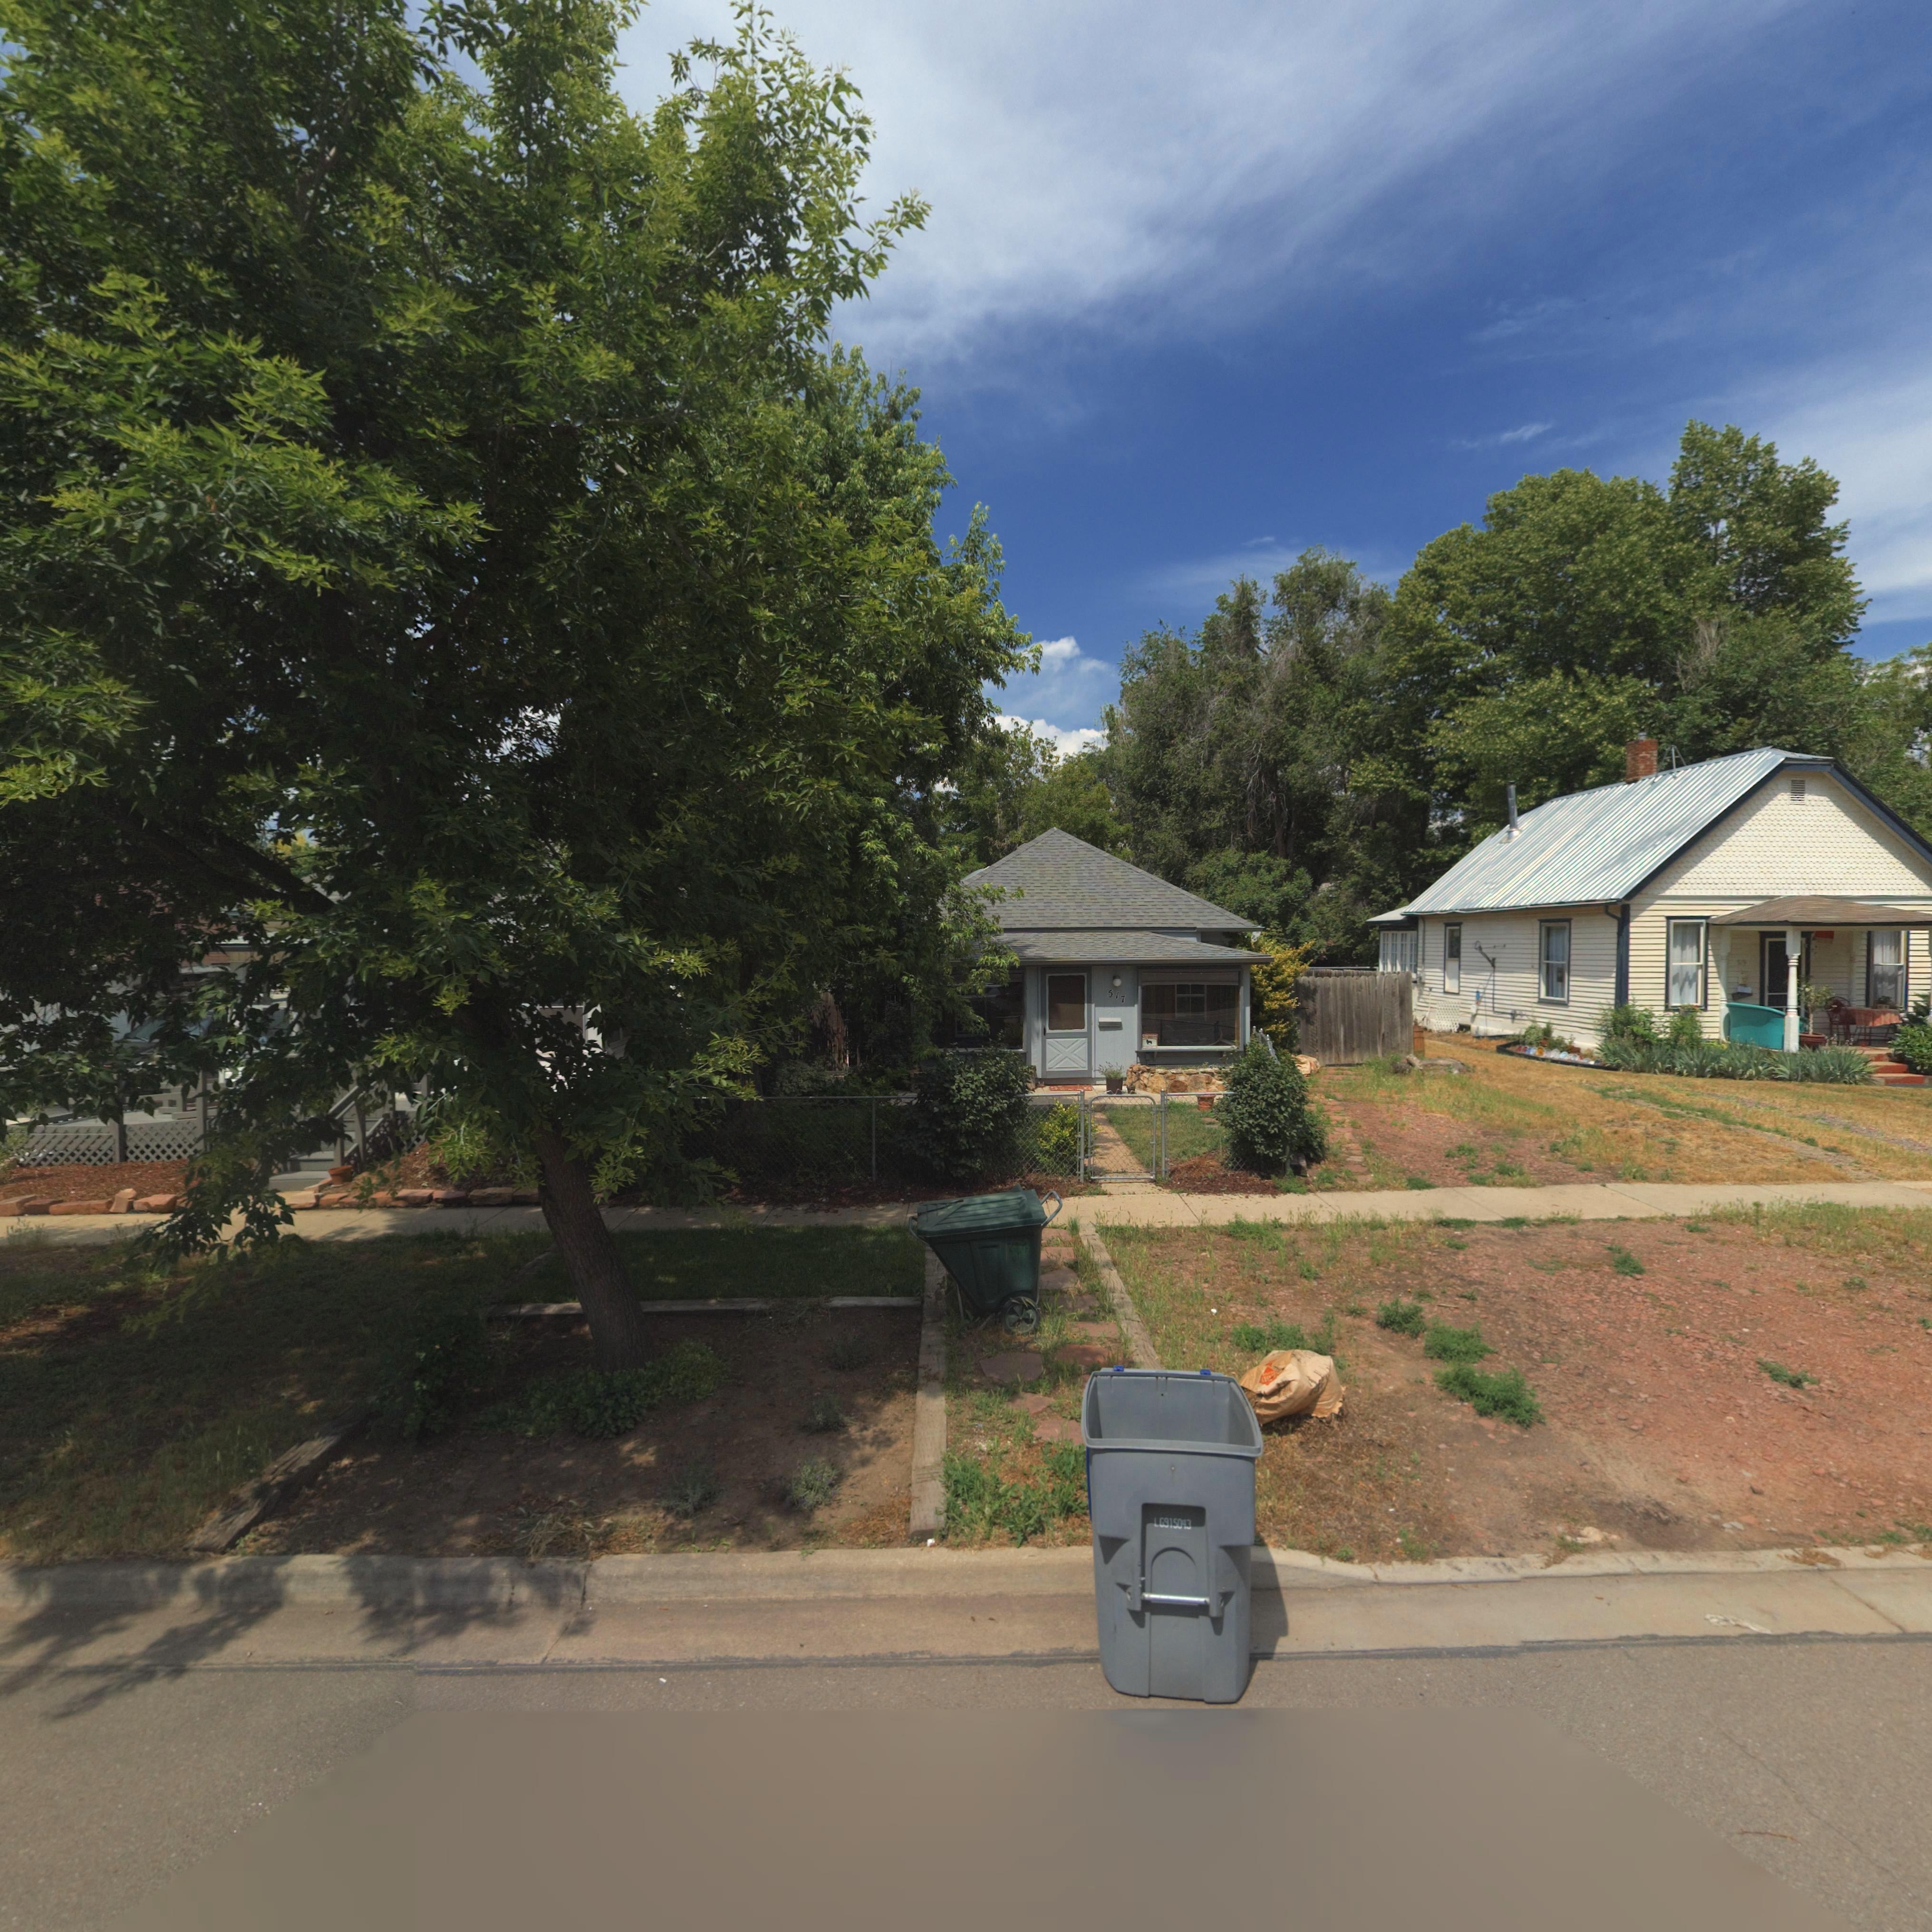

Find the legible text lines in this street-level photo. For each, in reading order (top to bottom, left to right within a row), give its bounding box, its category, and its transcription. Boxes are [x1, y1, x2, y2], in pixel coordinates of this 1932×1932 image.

[1107, 989, 1126, 1003] StreetNumber: 517